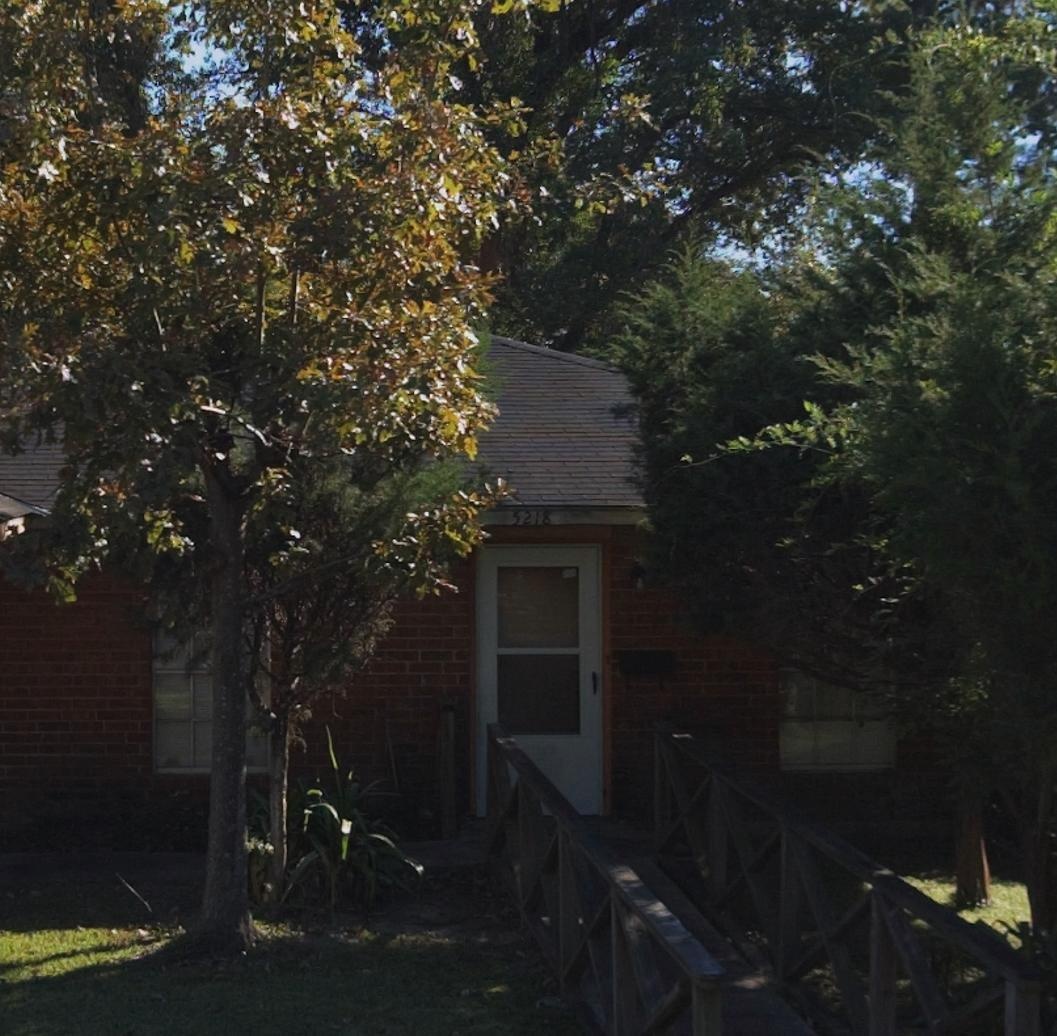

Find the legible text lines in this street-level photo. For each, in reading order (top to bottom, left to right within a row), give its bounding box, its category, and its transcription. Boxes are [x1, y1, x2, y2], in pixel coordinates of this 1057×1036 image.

[510, 510, 553, 526] StreetNumber: 5218